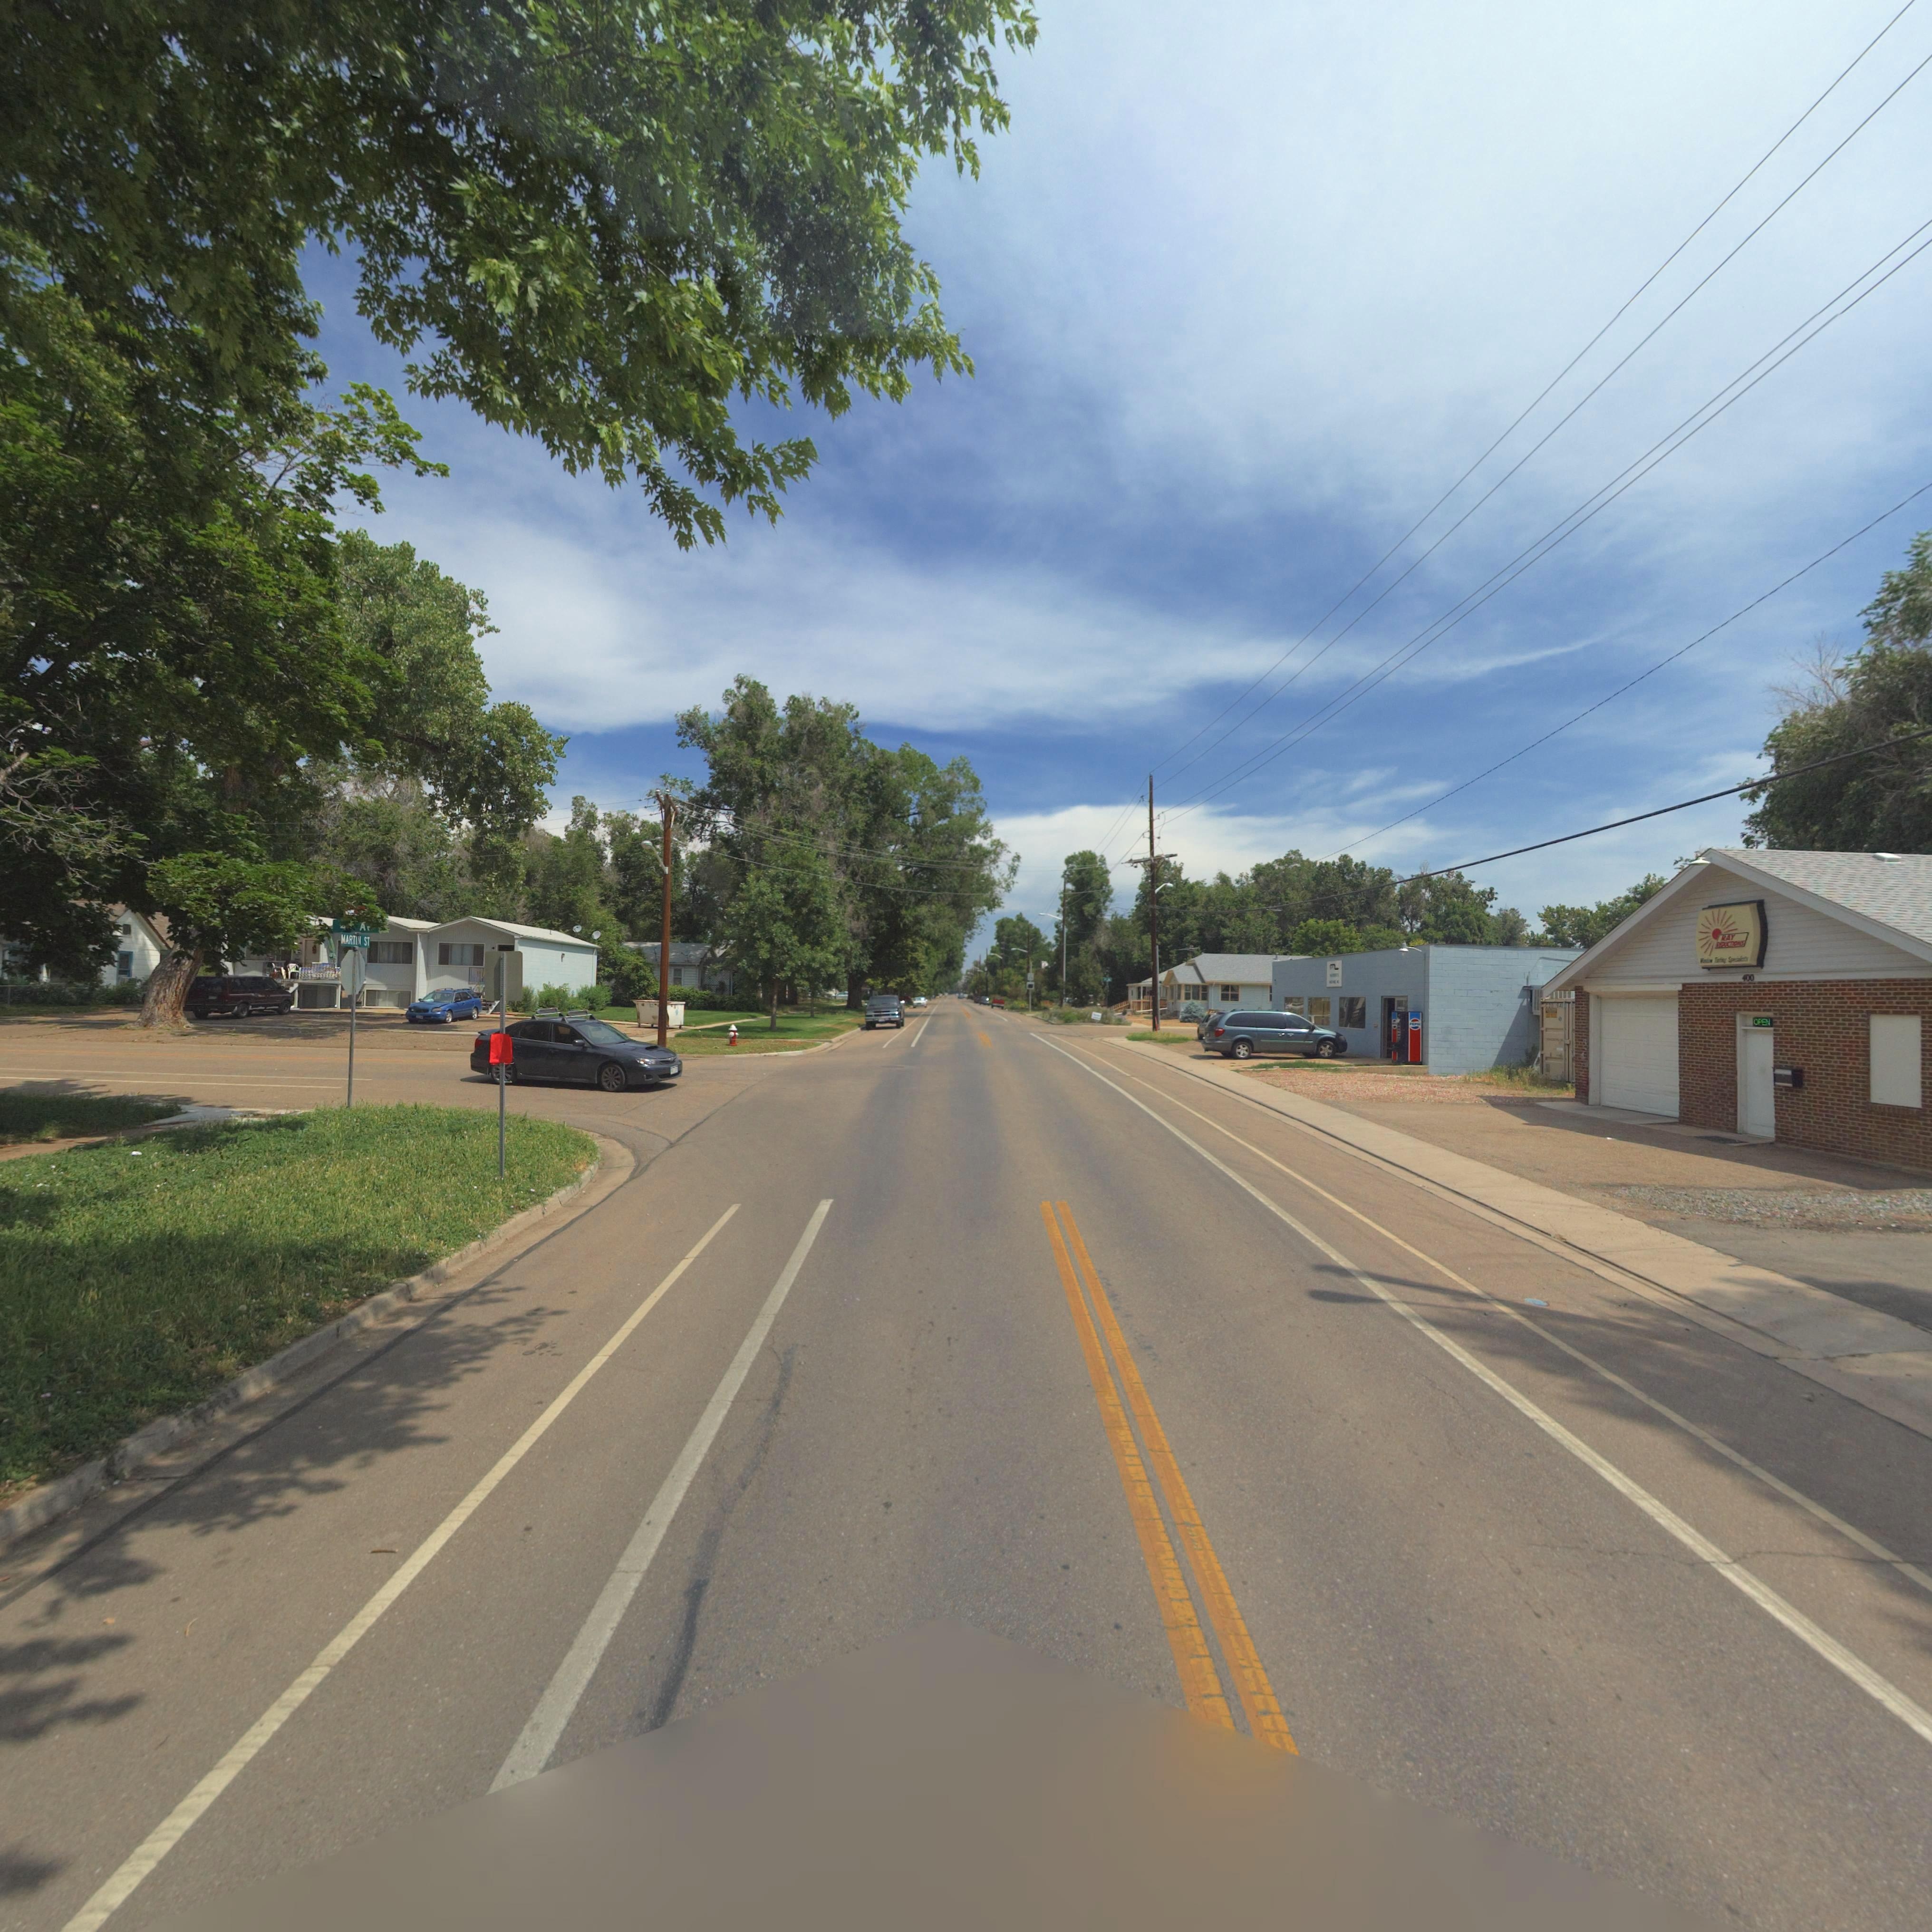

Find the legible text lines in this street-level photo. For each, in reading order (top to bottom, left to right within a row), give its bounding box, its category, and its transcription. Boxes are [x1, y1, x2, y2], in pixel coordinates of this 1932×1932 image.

[340, 934, 370, 947] StreetName: MARTIN ST
[1720, 933, 1736, 941] BusinessName: RAY
[1716, 940, 1747, 948] BusinessName: REDUCTIONS
[1741, 973, 1755, 982] StreetNumber: 400